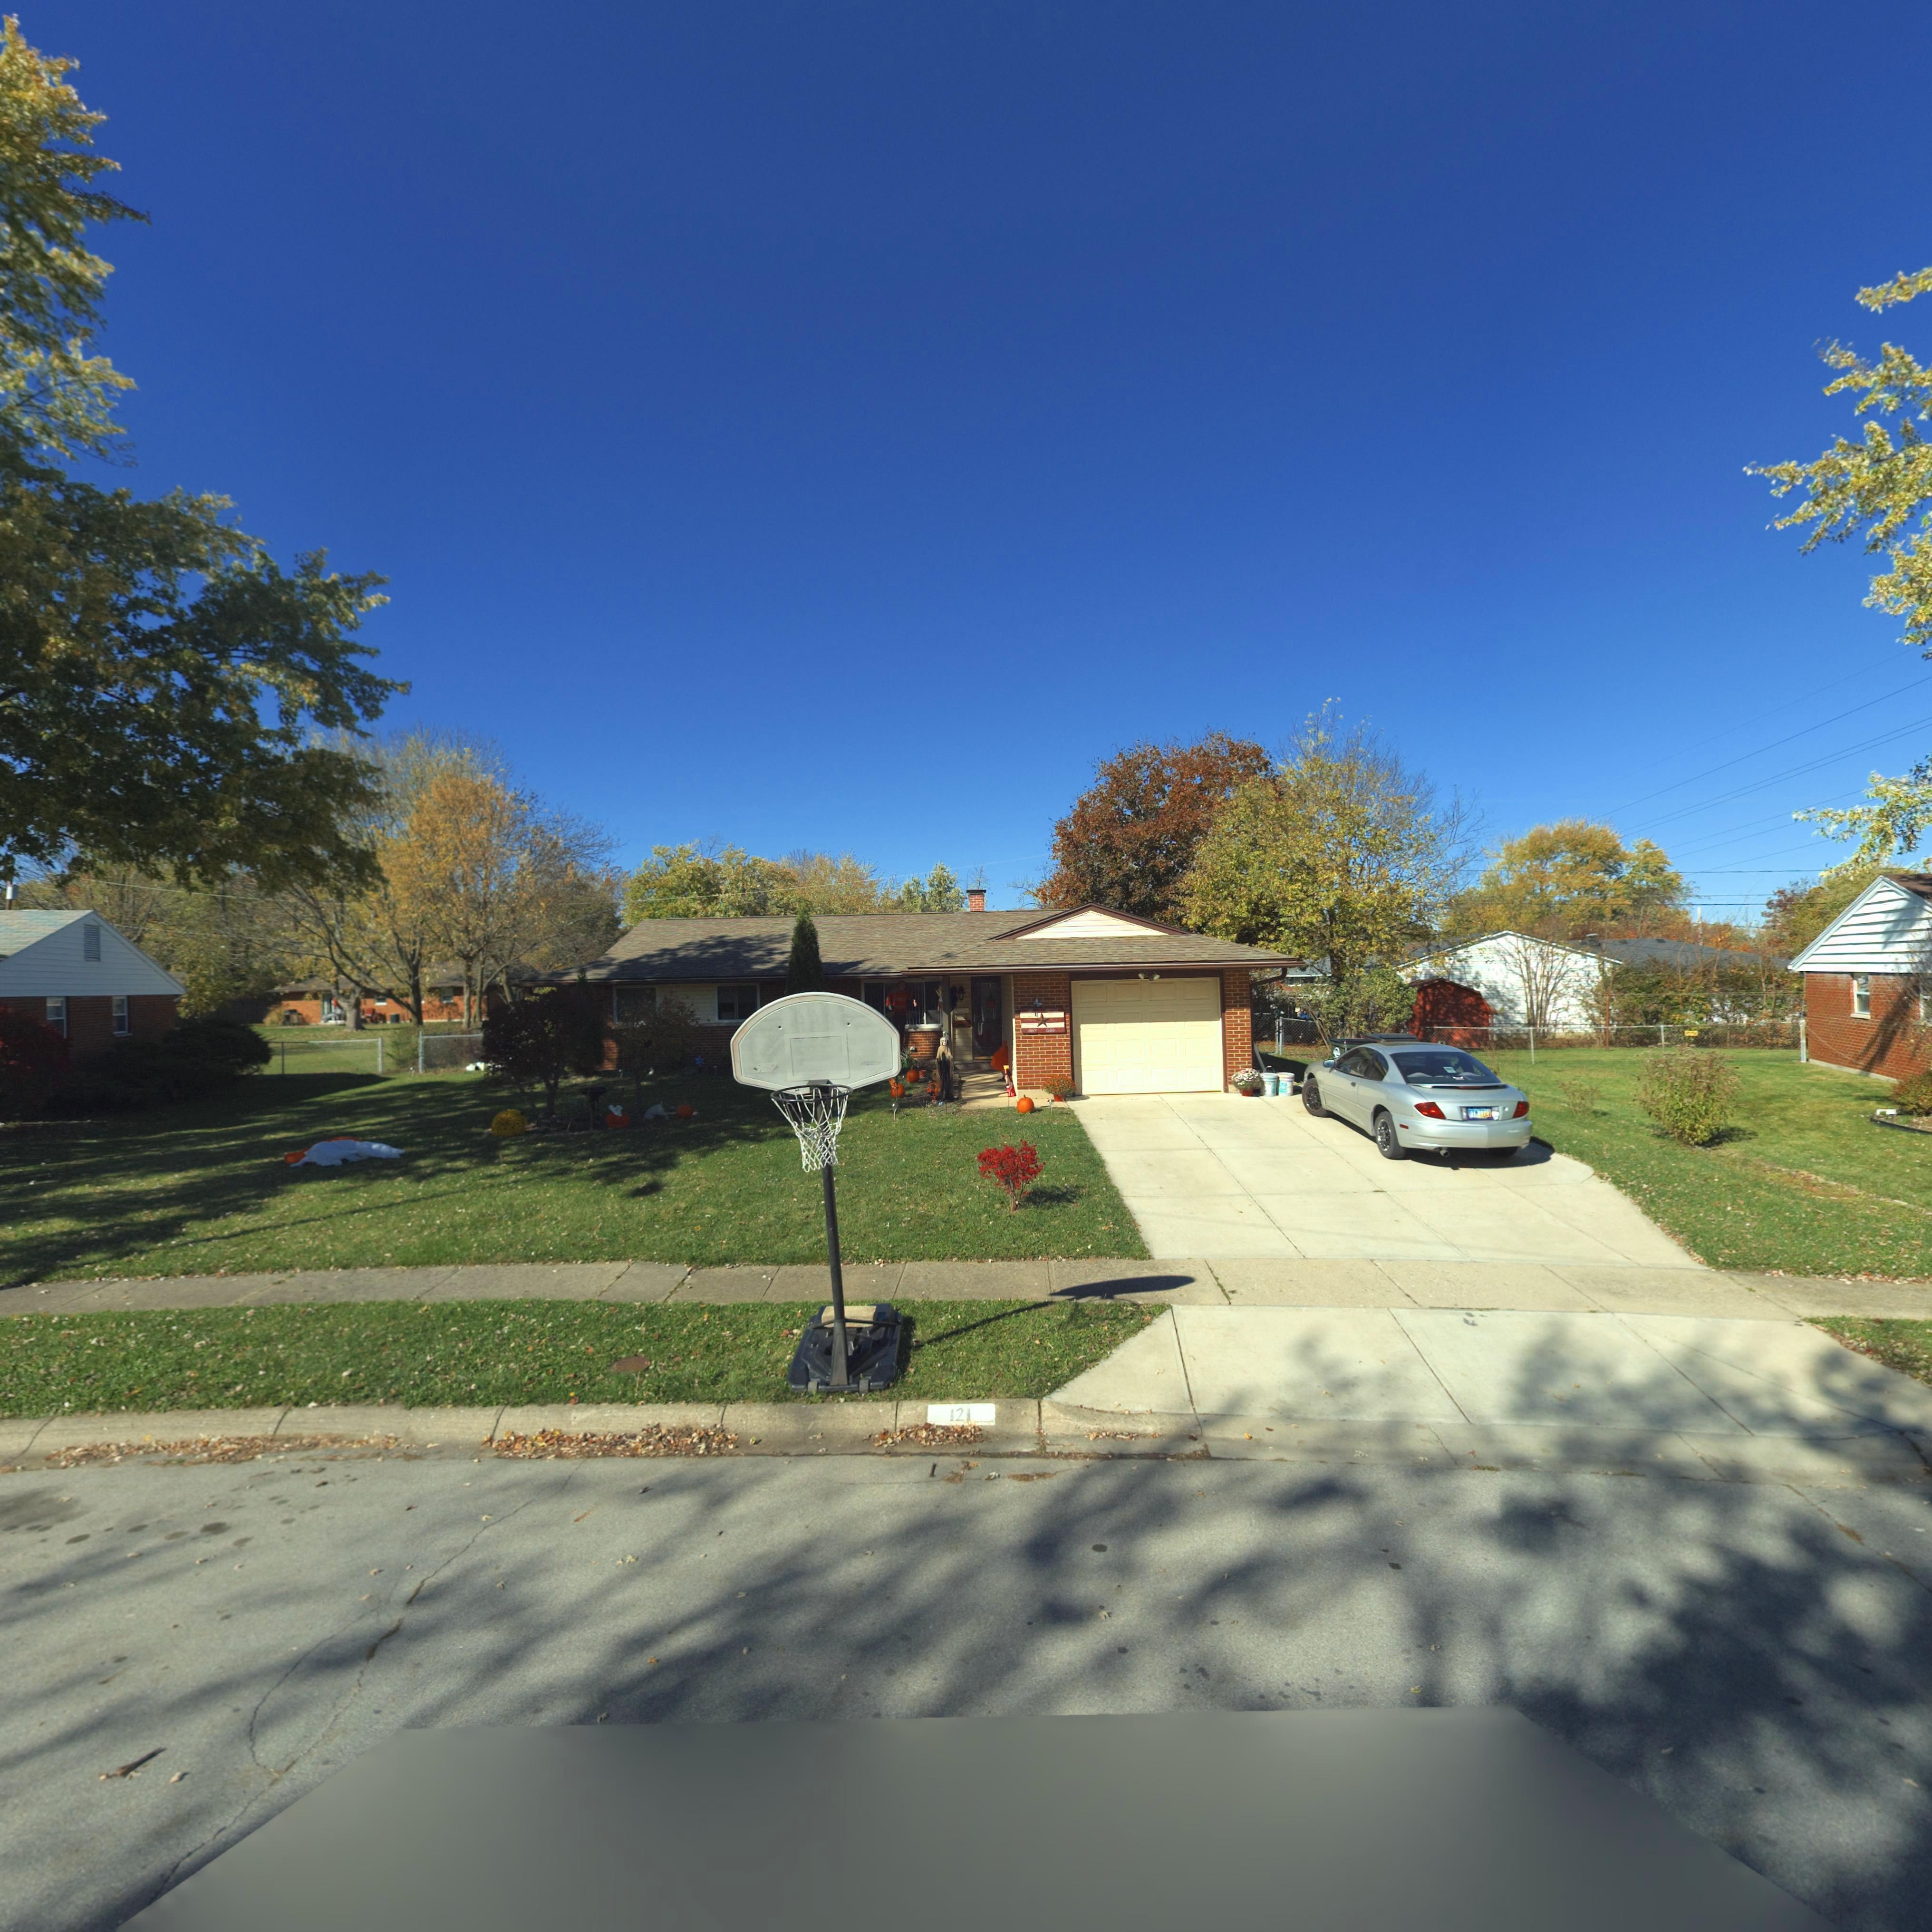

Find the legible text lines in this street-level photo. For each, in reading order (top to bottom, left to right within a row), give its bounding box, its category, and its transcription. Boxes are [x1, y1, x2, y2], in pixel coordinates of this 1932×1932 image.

[949, 1407, 971, 1422] StreetNumber: 121